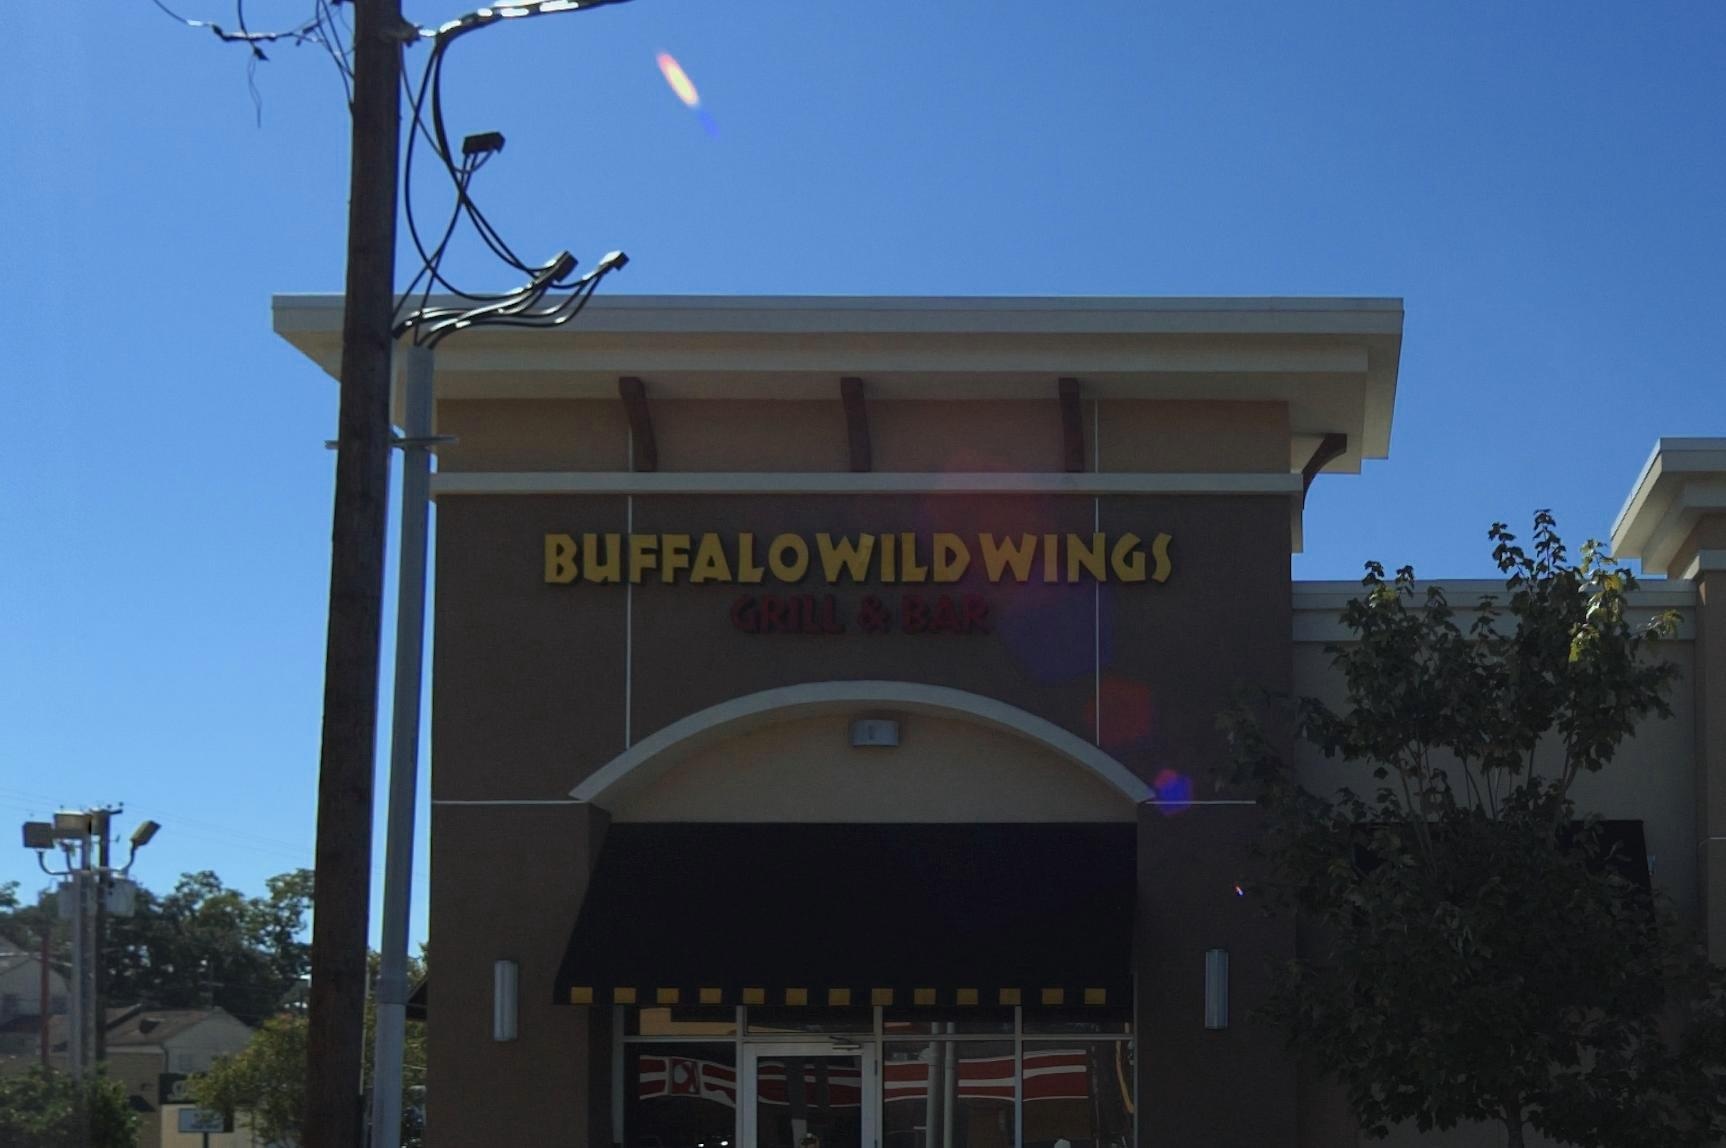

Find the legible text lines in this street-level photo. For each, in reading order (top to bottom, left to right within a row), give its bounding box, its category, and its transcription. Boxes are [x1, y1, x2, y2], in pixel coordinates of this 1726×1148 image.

[542, 530, 1175, 585] BusinessName: BUFFALO WILD WINGS
[730, 592, 994, 637] None: GRILL & BAR
[166, 1078, 183, 1104] None: S